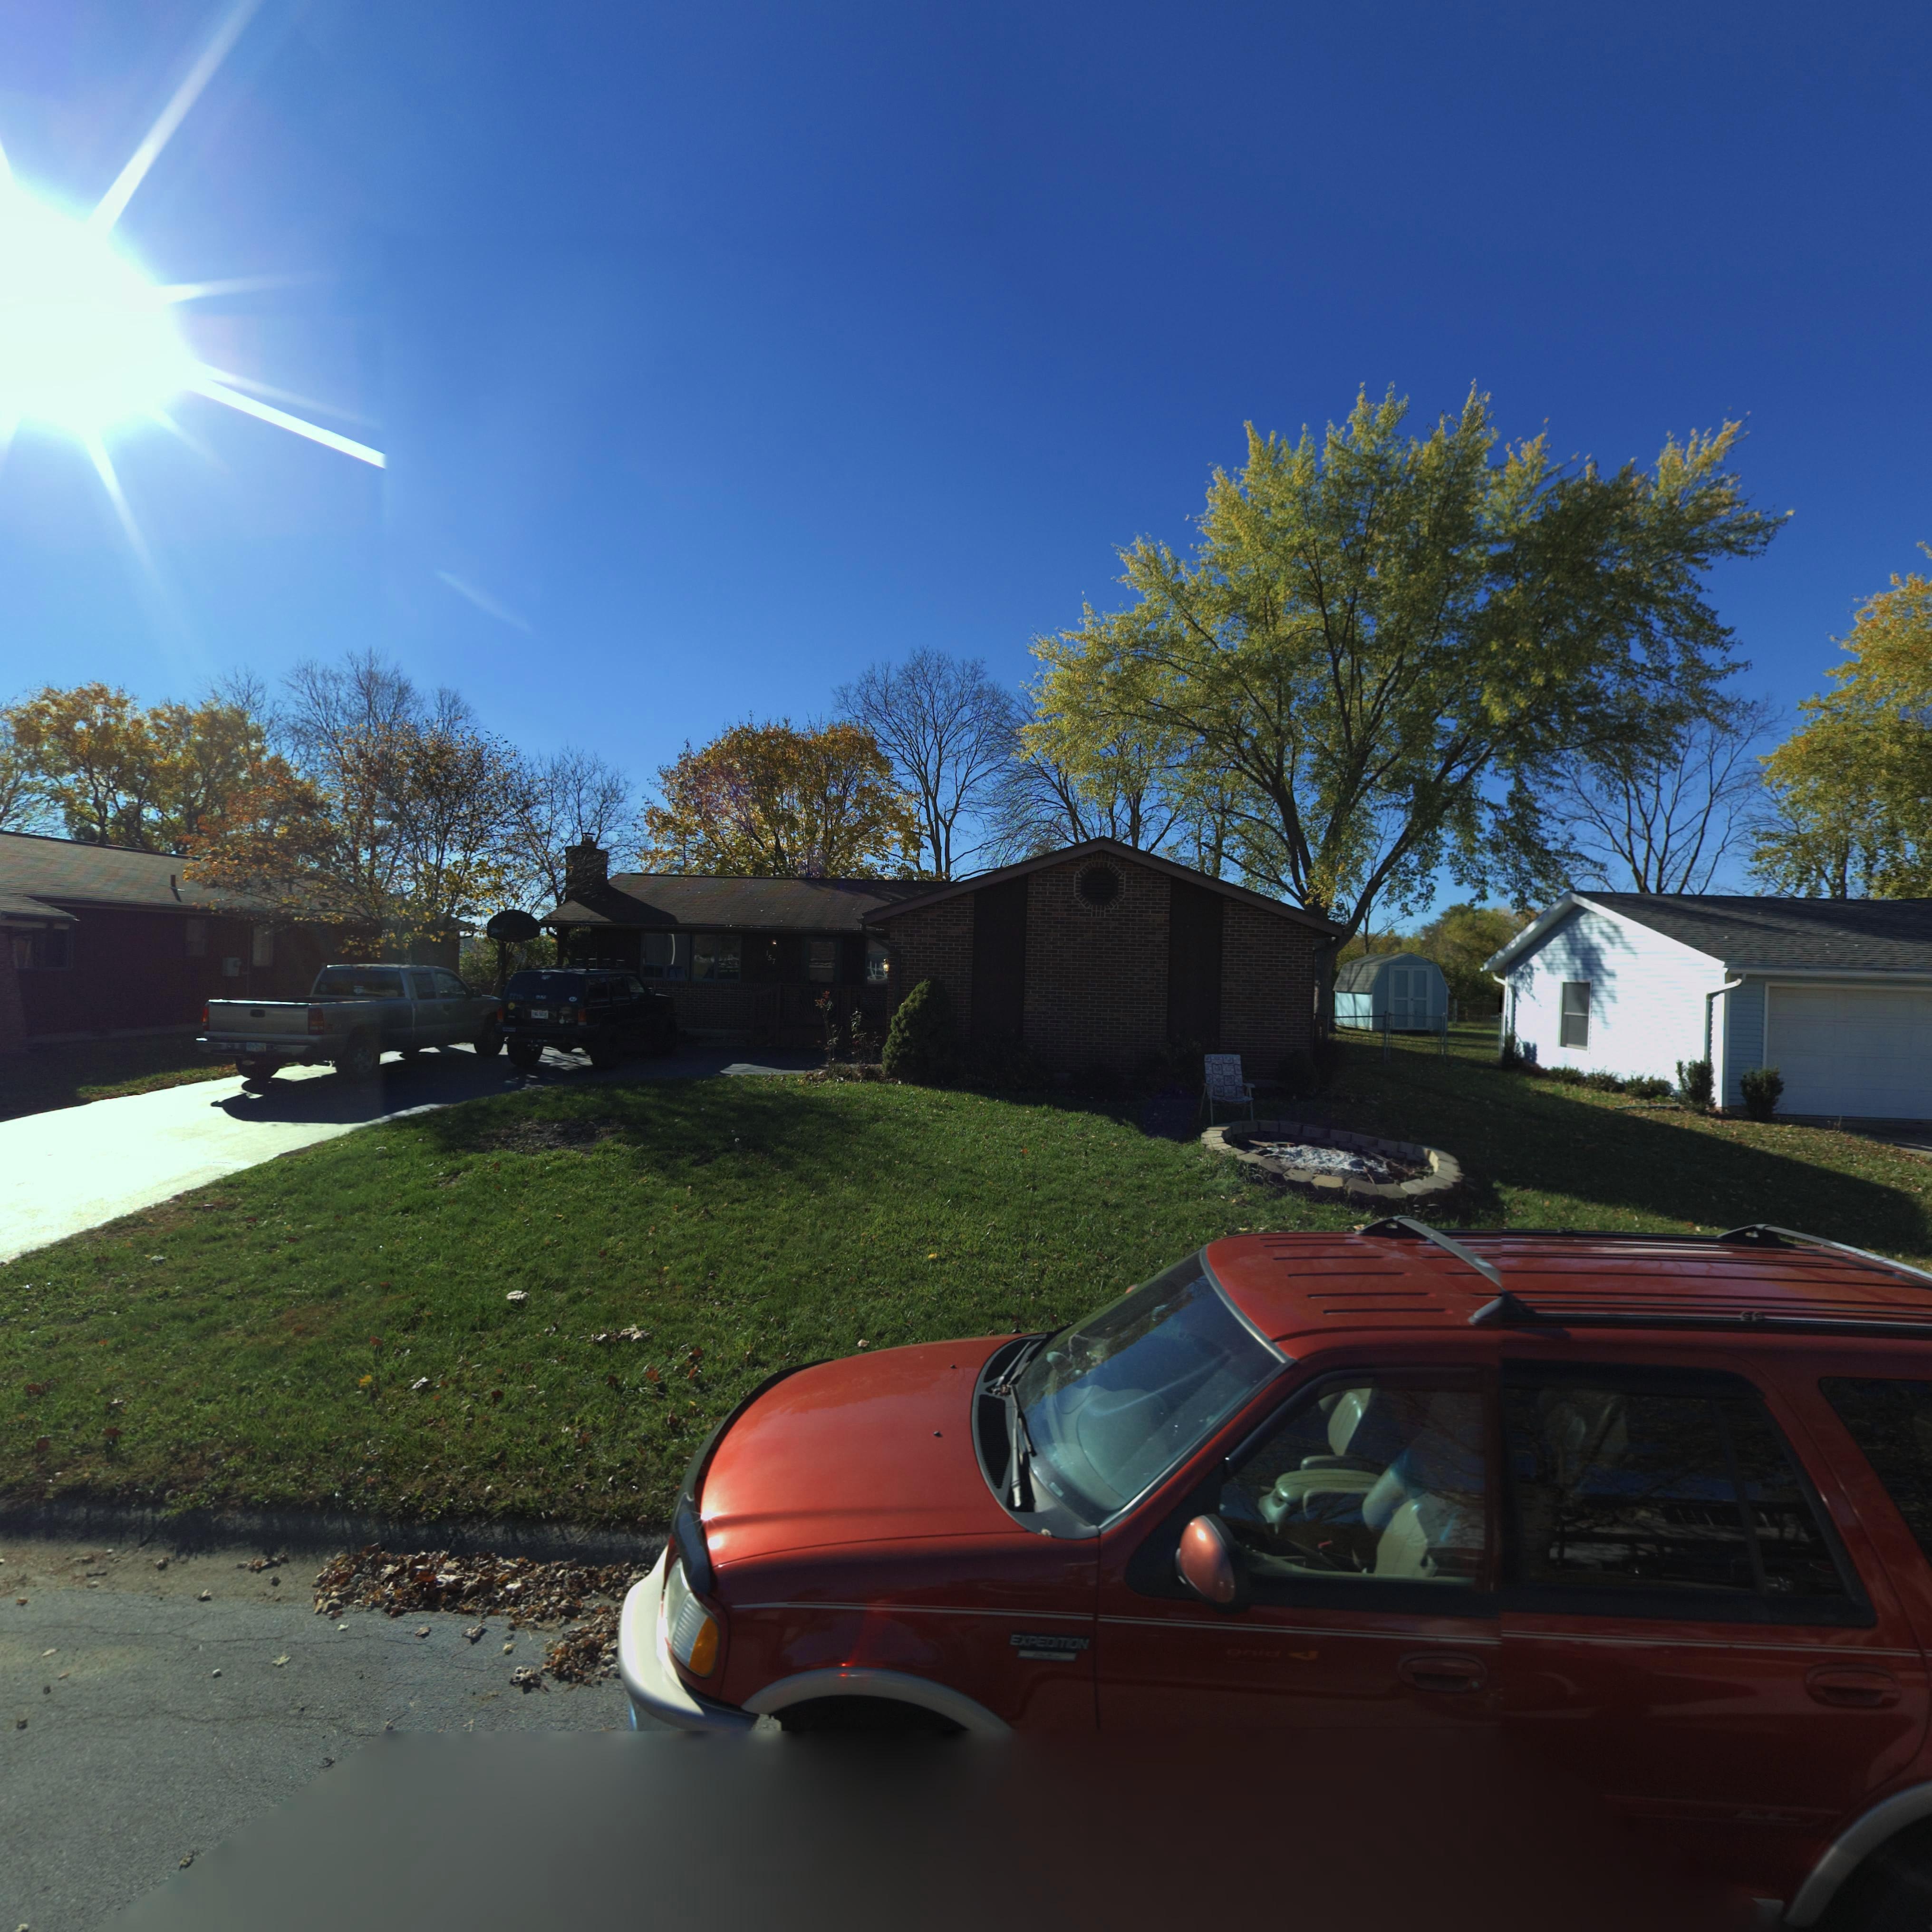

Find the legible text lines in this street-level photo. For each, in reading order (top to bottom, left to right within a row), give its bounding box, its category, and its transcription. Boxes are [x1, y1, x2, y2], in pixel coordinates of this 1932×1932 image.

[765, 948, 777, 966] StreetNumber: 157